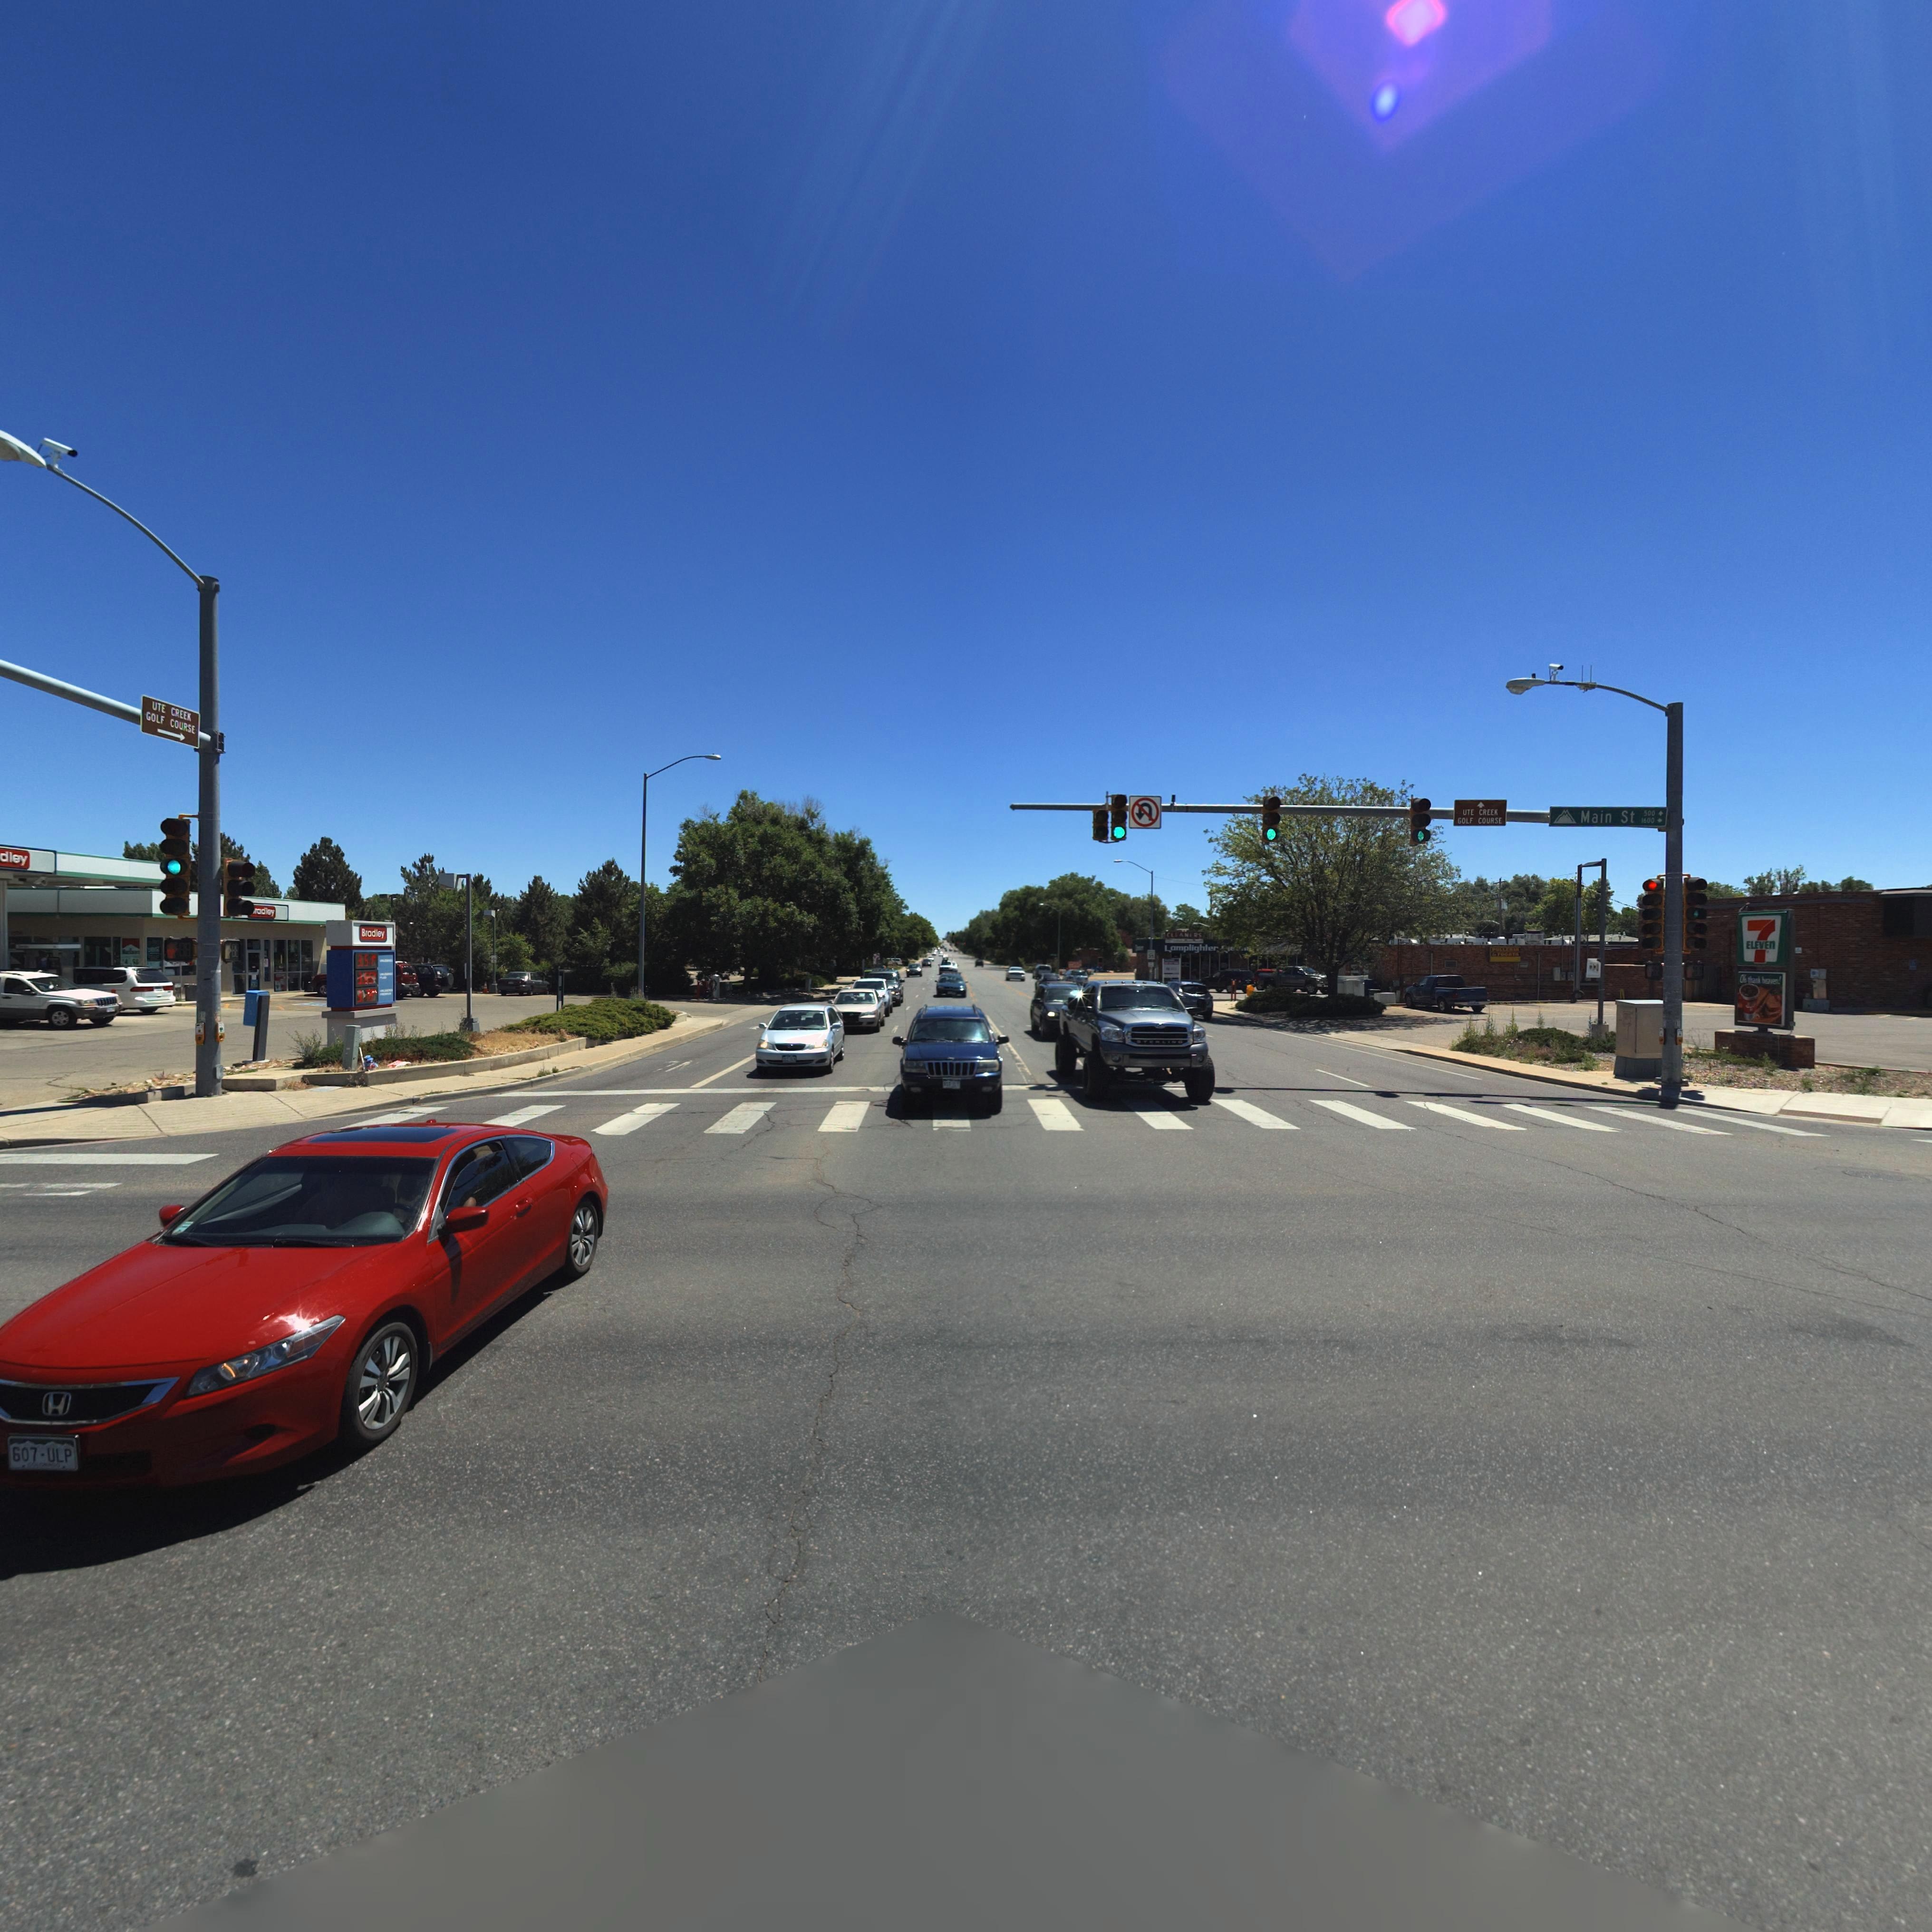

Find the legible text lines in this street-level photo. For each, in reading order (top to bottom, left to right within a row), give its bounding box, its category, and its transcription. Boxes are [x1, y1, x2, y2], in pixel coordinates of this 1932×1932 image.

[1580, 809, 1635, 823] StreetName: Main St
[1643, 809, 1656, 817] StreetNumberRange: 500
[1641, 817, 1662, 824] StreetNumberRange: 1600->
[0, 849, 30, 867] BusinessName: dley
[252, 907, 276, 917] BusinessName: *radley
[361, 928, 386, 938] BusinessName: Bradley
[1164, 943, 1219, 953] BusinessName: Lamplighter
[1491, 947, 1520, 952] BusinessName: **LL**IA
[1491, 951, 1520, 956] BusinessName: ** *O*ATA
[1746, 940, 1775, 949] BusinessName: ELEVEN